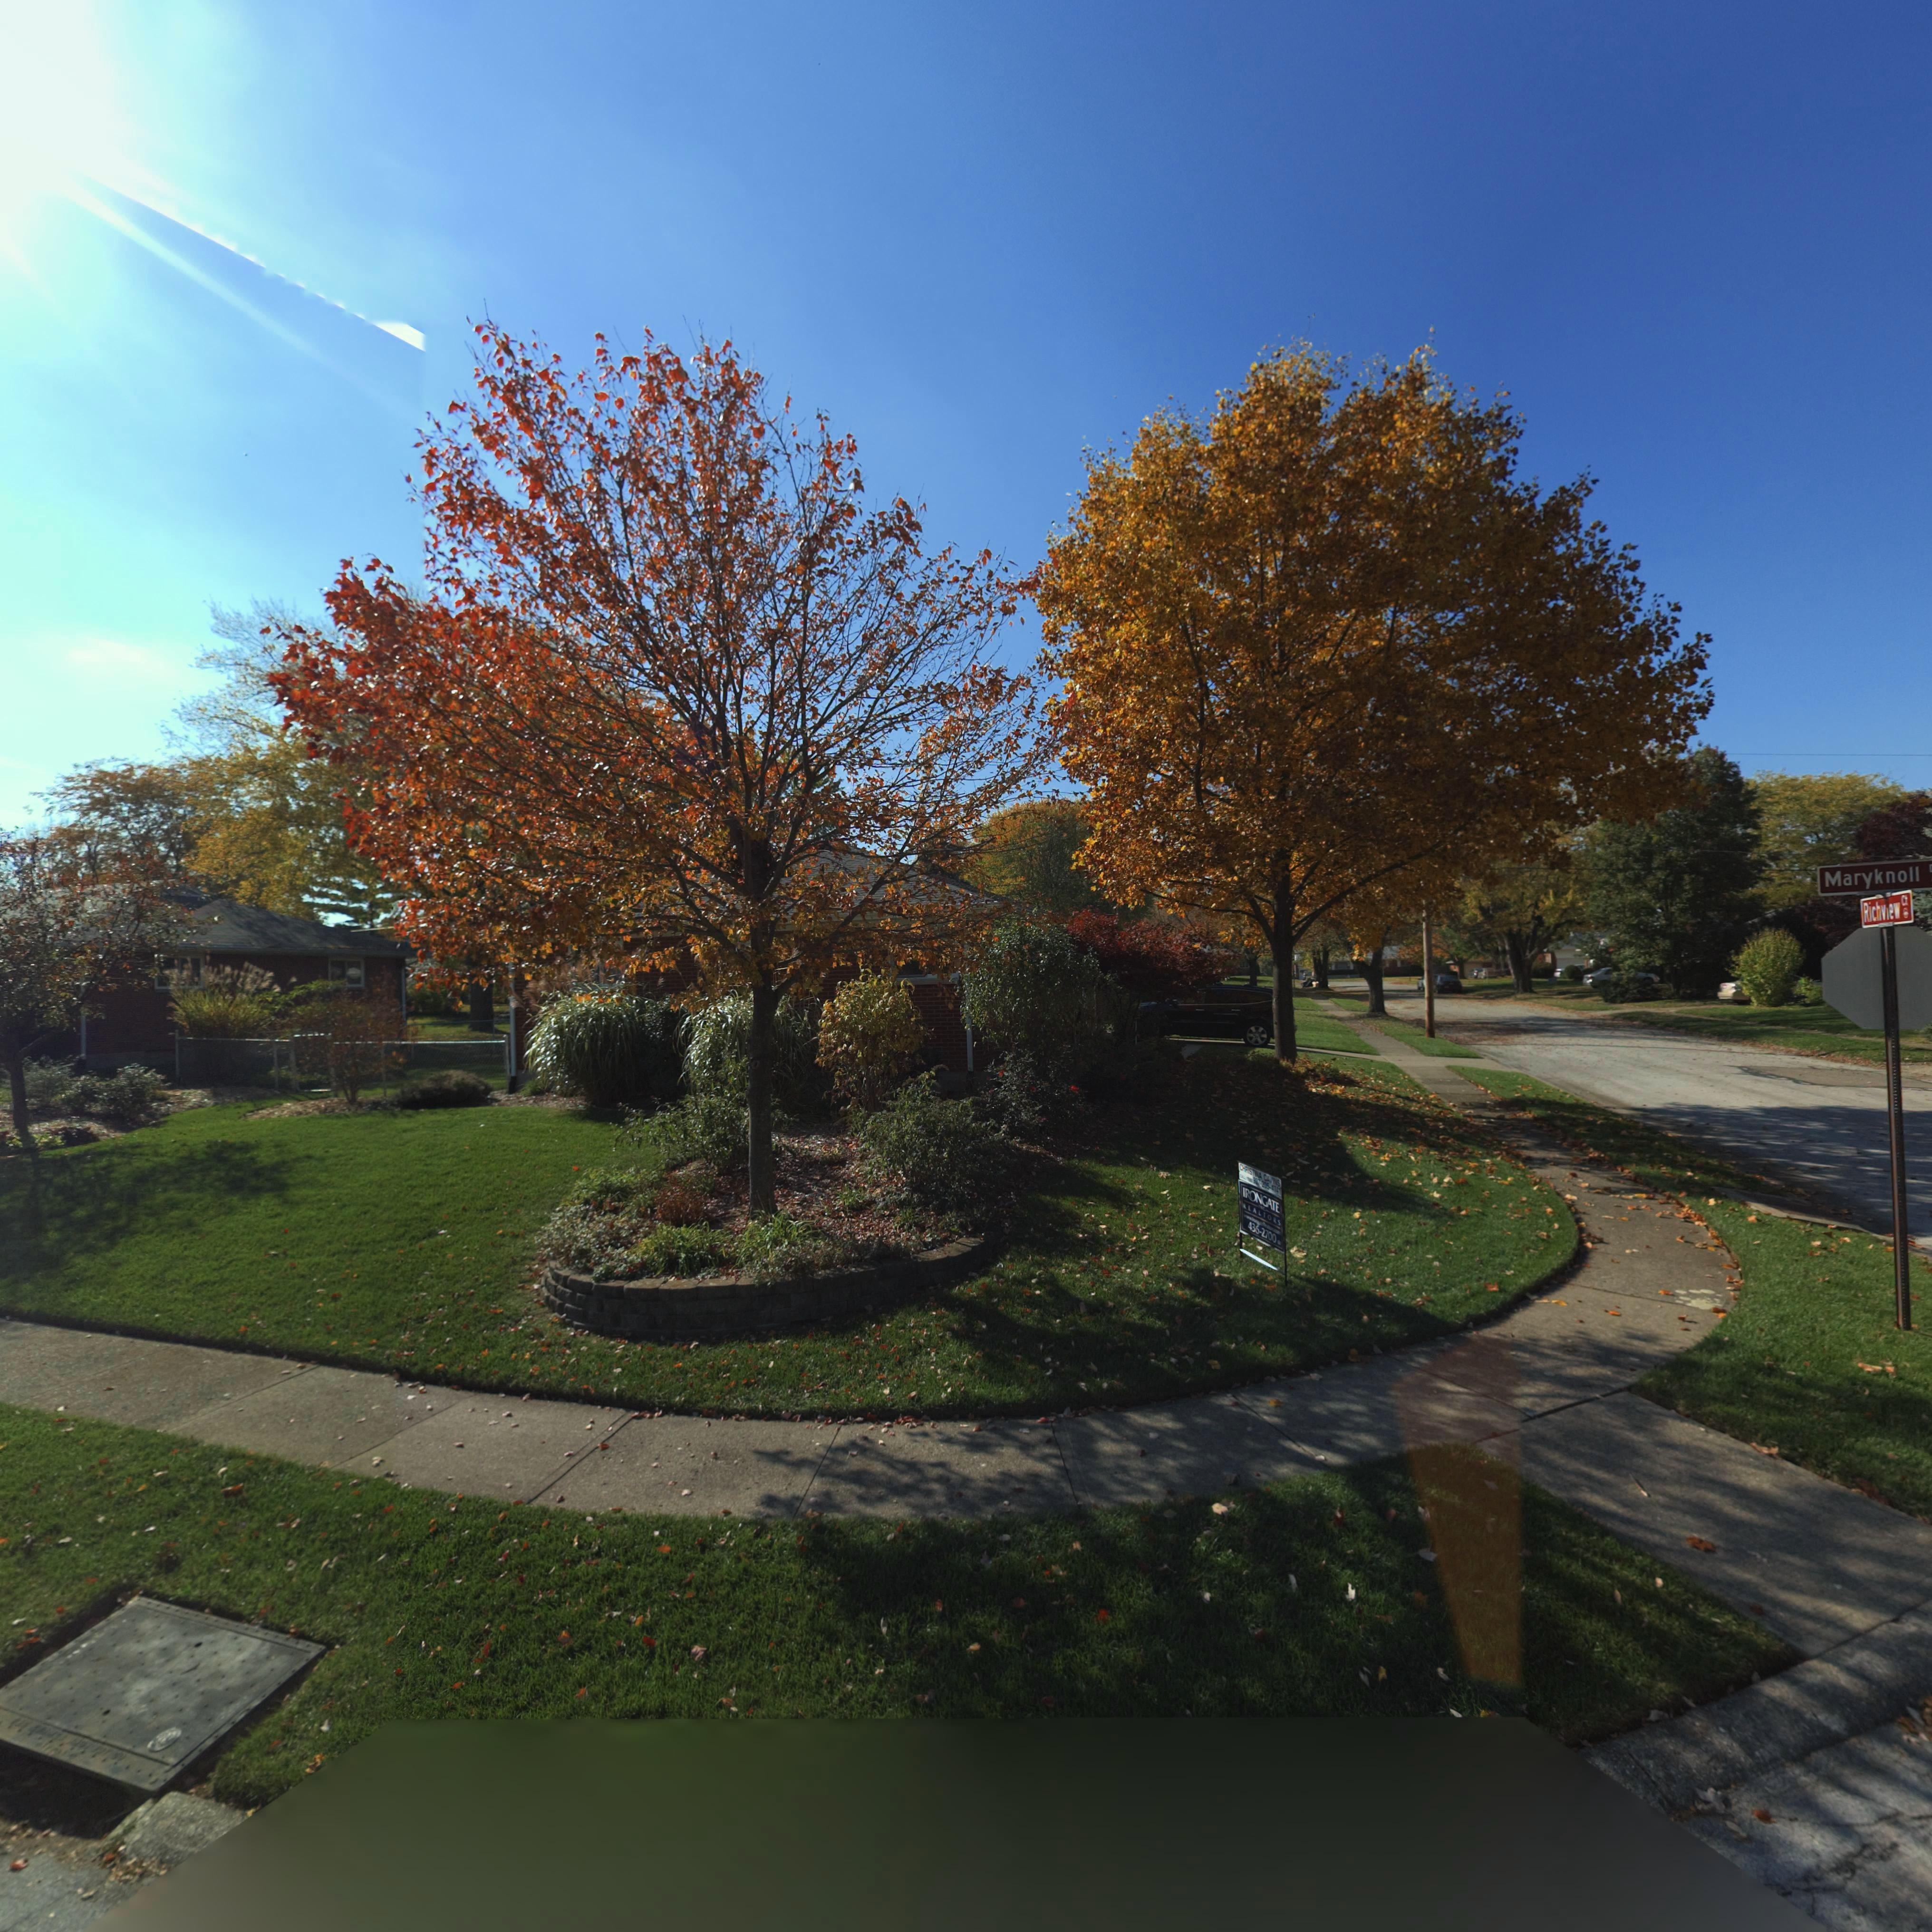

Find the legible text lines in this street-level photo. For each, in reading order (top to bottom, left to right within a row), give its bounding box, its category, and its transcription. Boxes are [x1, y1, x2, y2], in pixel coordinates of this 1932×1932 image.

[1824, 865, 1920, 890] StreetName: Maryknoll
[1863, 894, 1909, 923] StreetName: Richview Ct
[1239, 1162, 1281, 1188] None: CHRISTINA CAVINS
[1253, 1176, 1282, 1196] None: 937-205-4741
[1242, 1187, 1281, 1216] None: IRONGATE
[1242, 1202, 1281, 1227] None: REALTORS
[1247, 1220, 1277, 1245] None: 436-2700